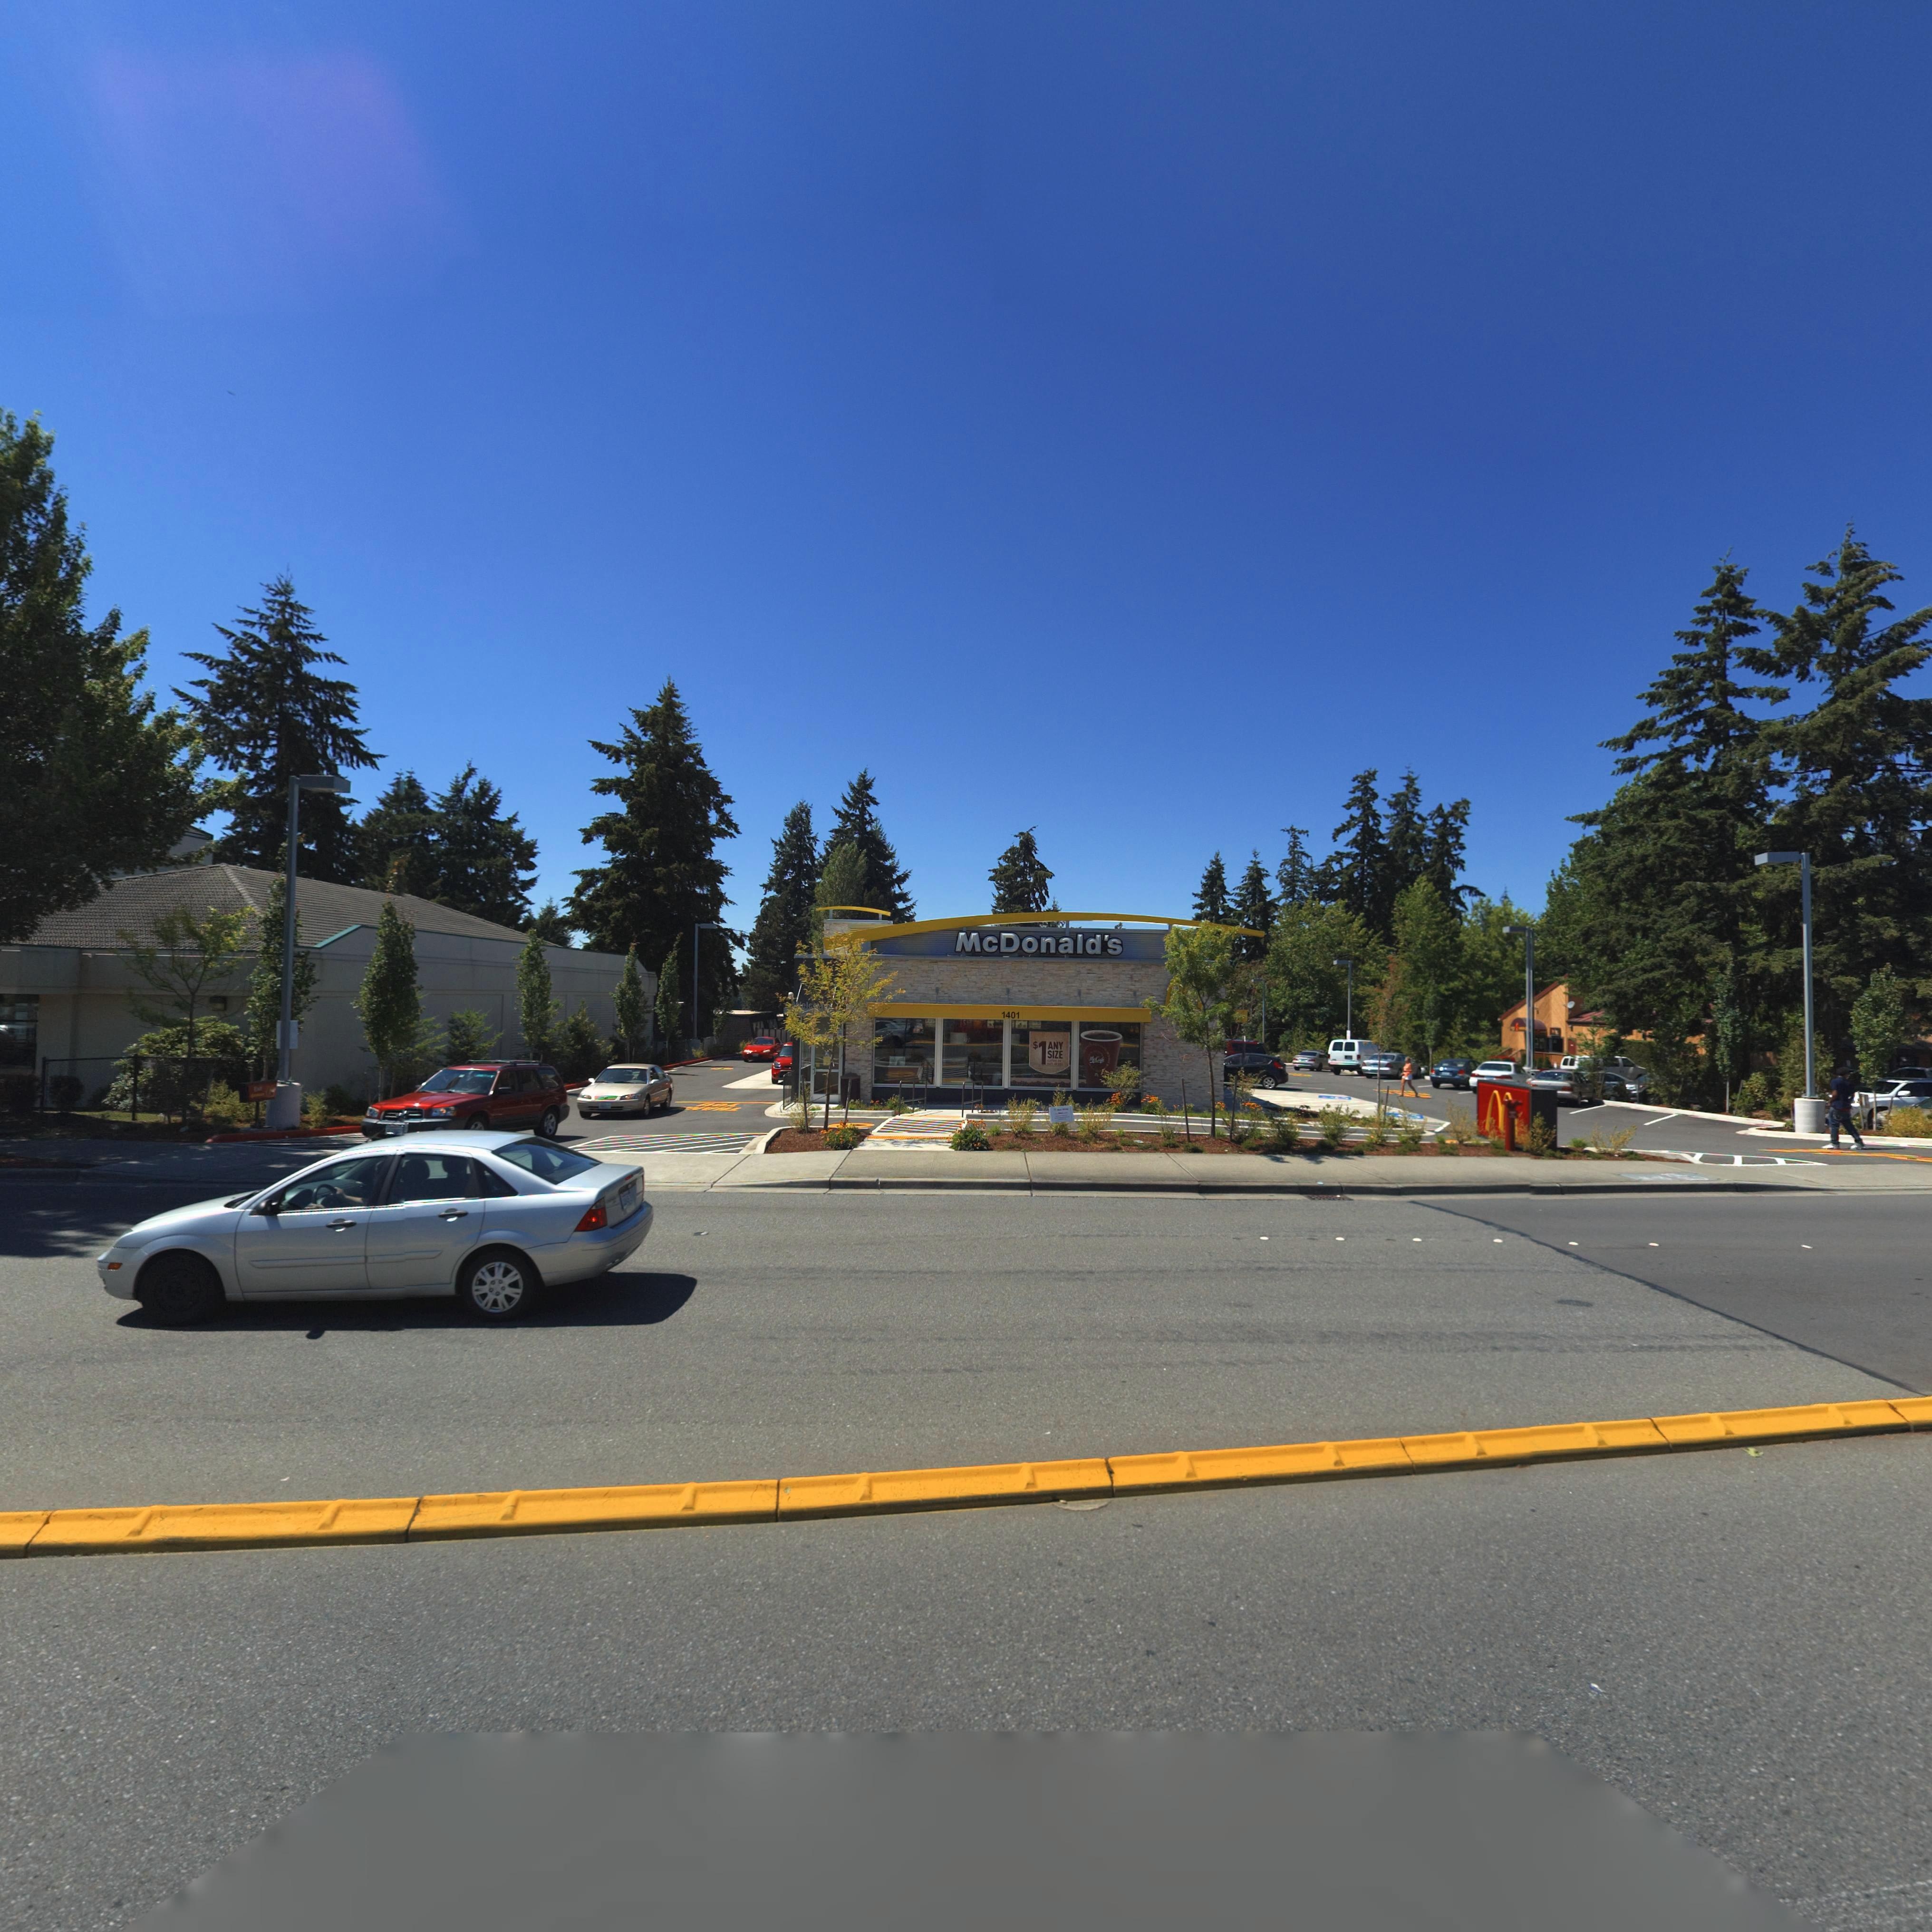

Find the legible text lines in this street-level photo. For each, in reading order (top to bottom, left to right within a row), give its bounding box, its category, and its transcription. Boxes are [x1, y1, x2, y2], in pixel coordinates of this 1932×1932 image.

[953, 930, 1125, 957] BusinessName: McDonald*s
[1001, 1009, 1021, 1020] StreetNumber: 1401